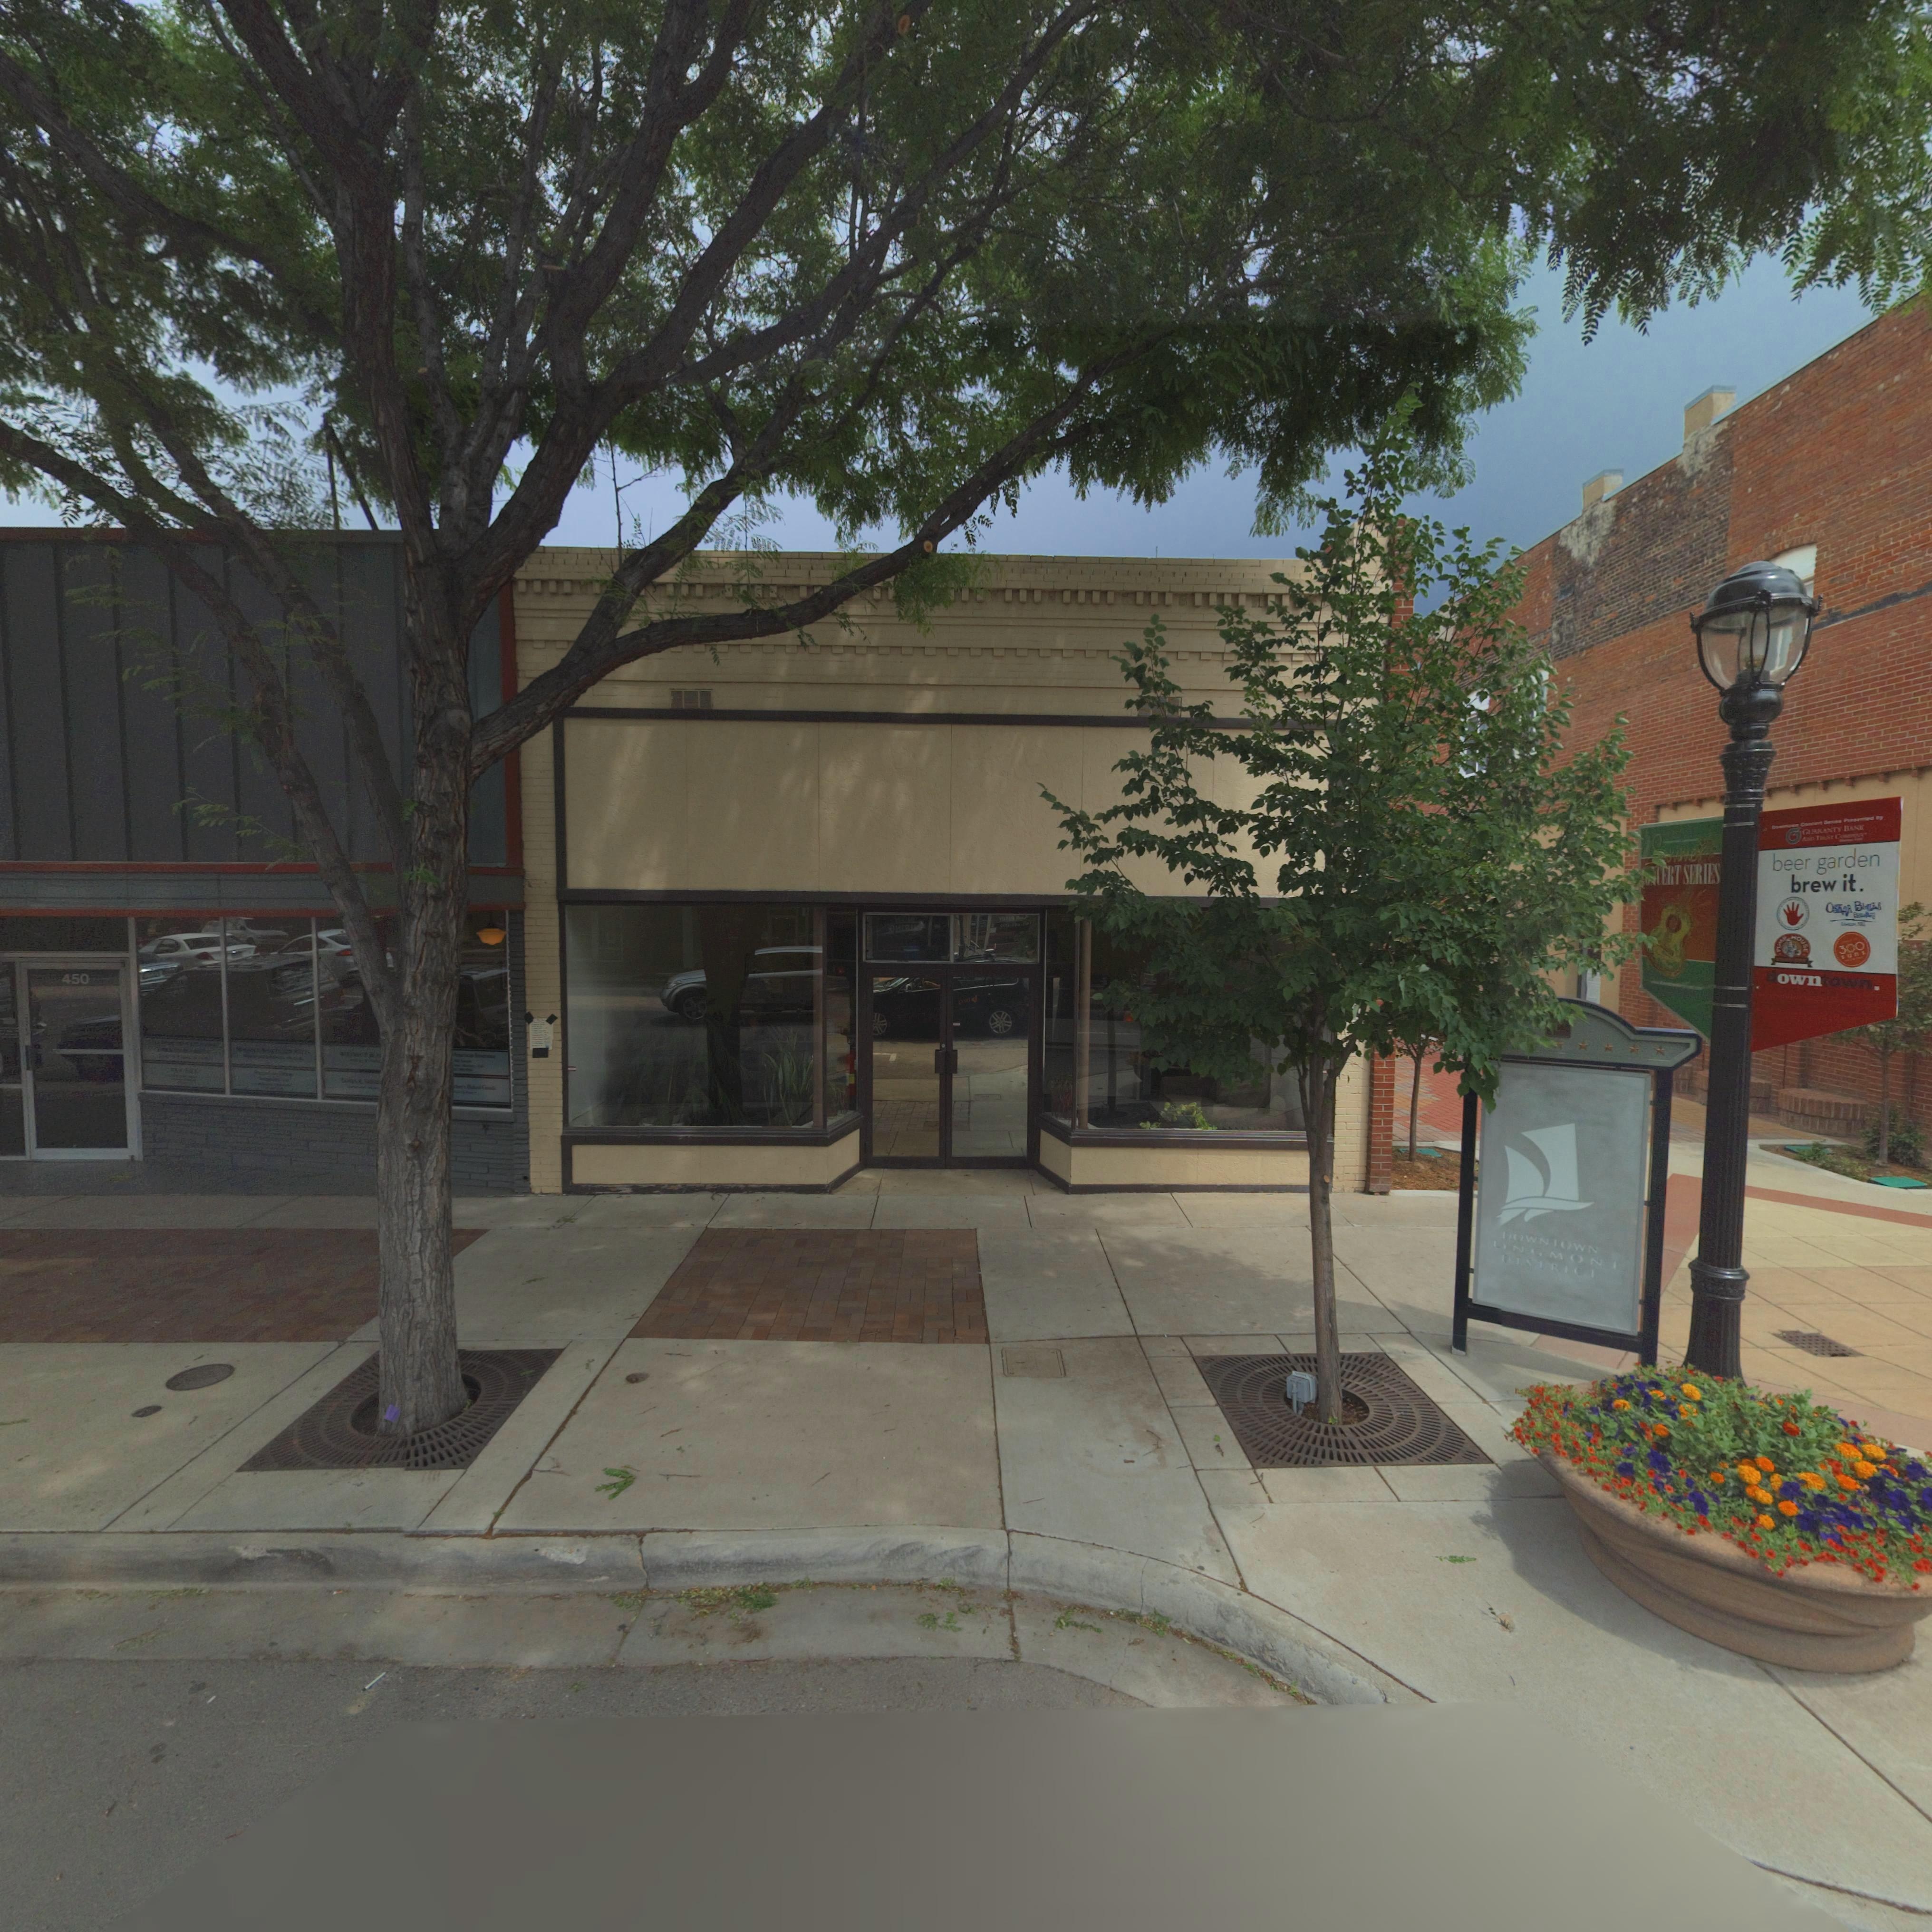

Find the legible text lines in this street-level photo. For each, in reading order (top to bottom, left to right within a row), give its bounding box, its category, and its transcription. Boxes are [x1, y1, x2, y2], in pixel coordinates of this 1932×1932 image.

[61, 973, 89, 984] StreetNumber: 450